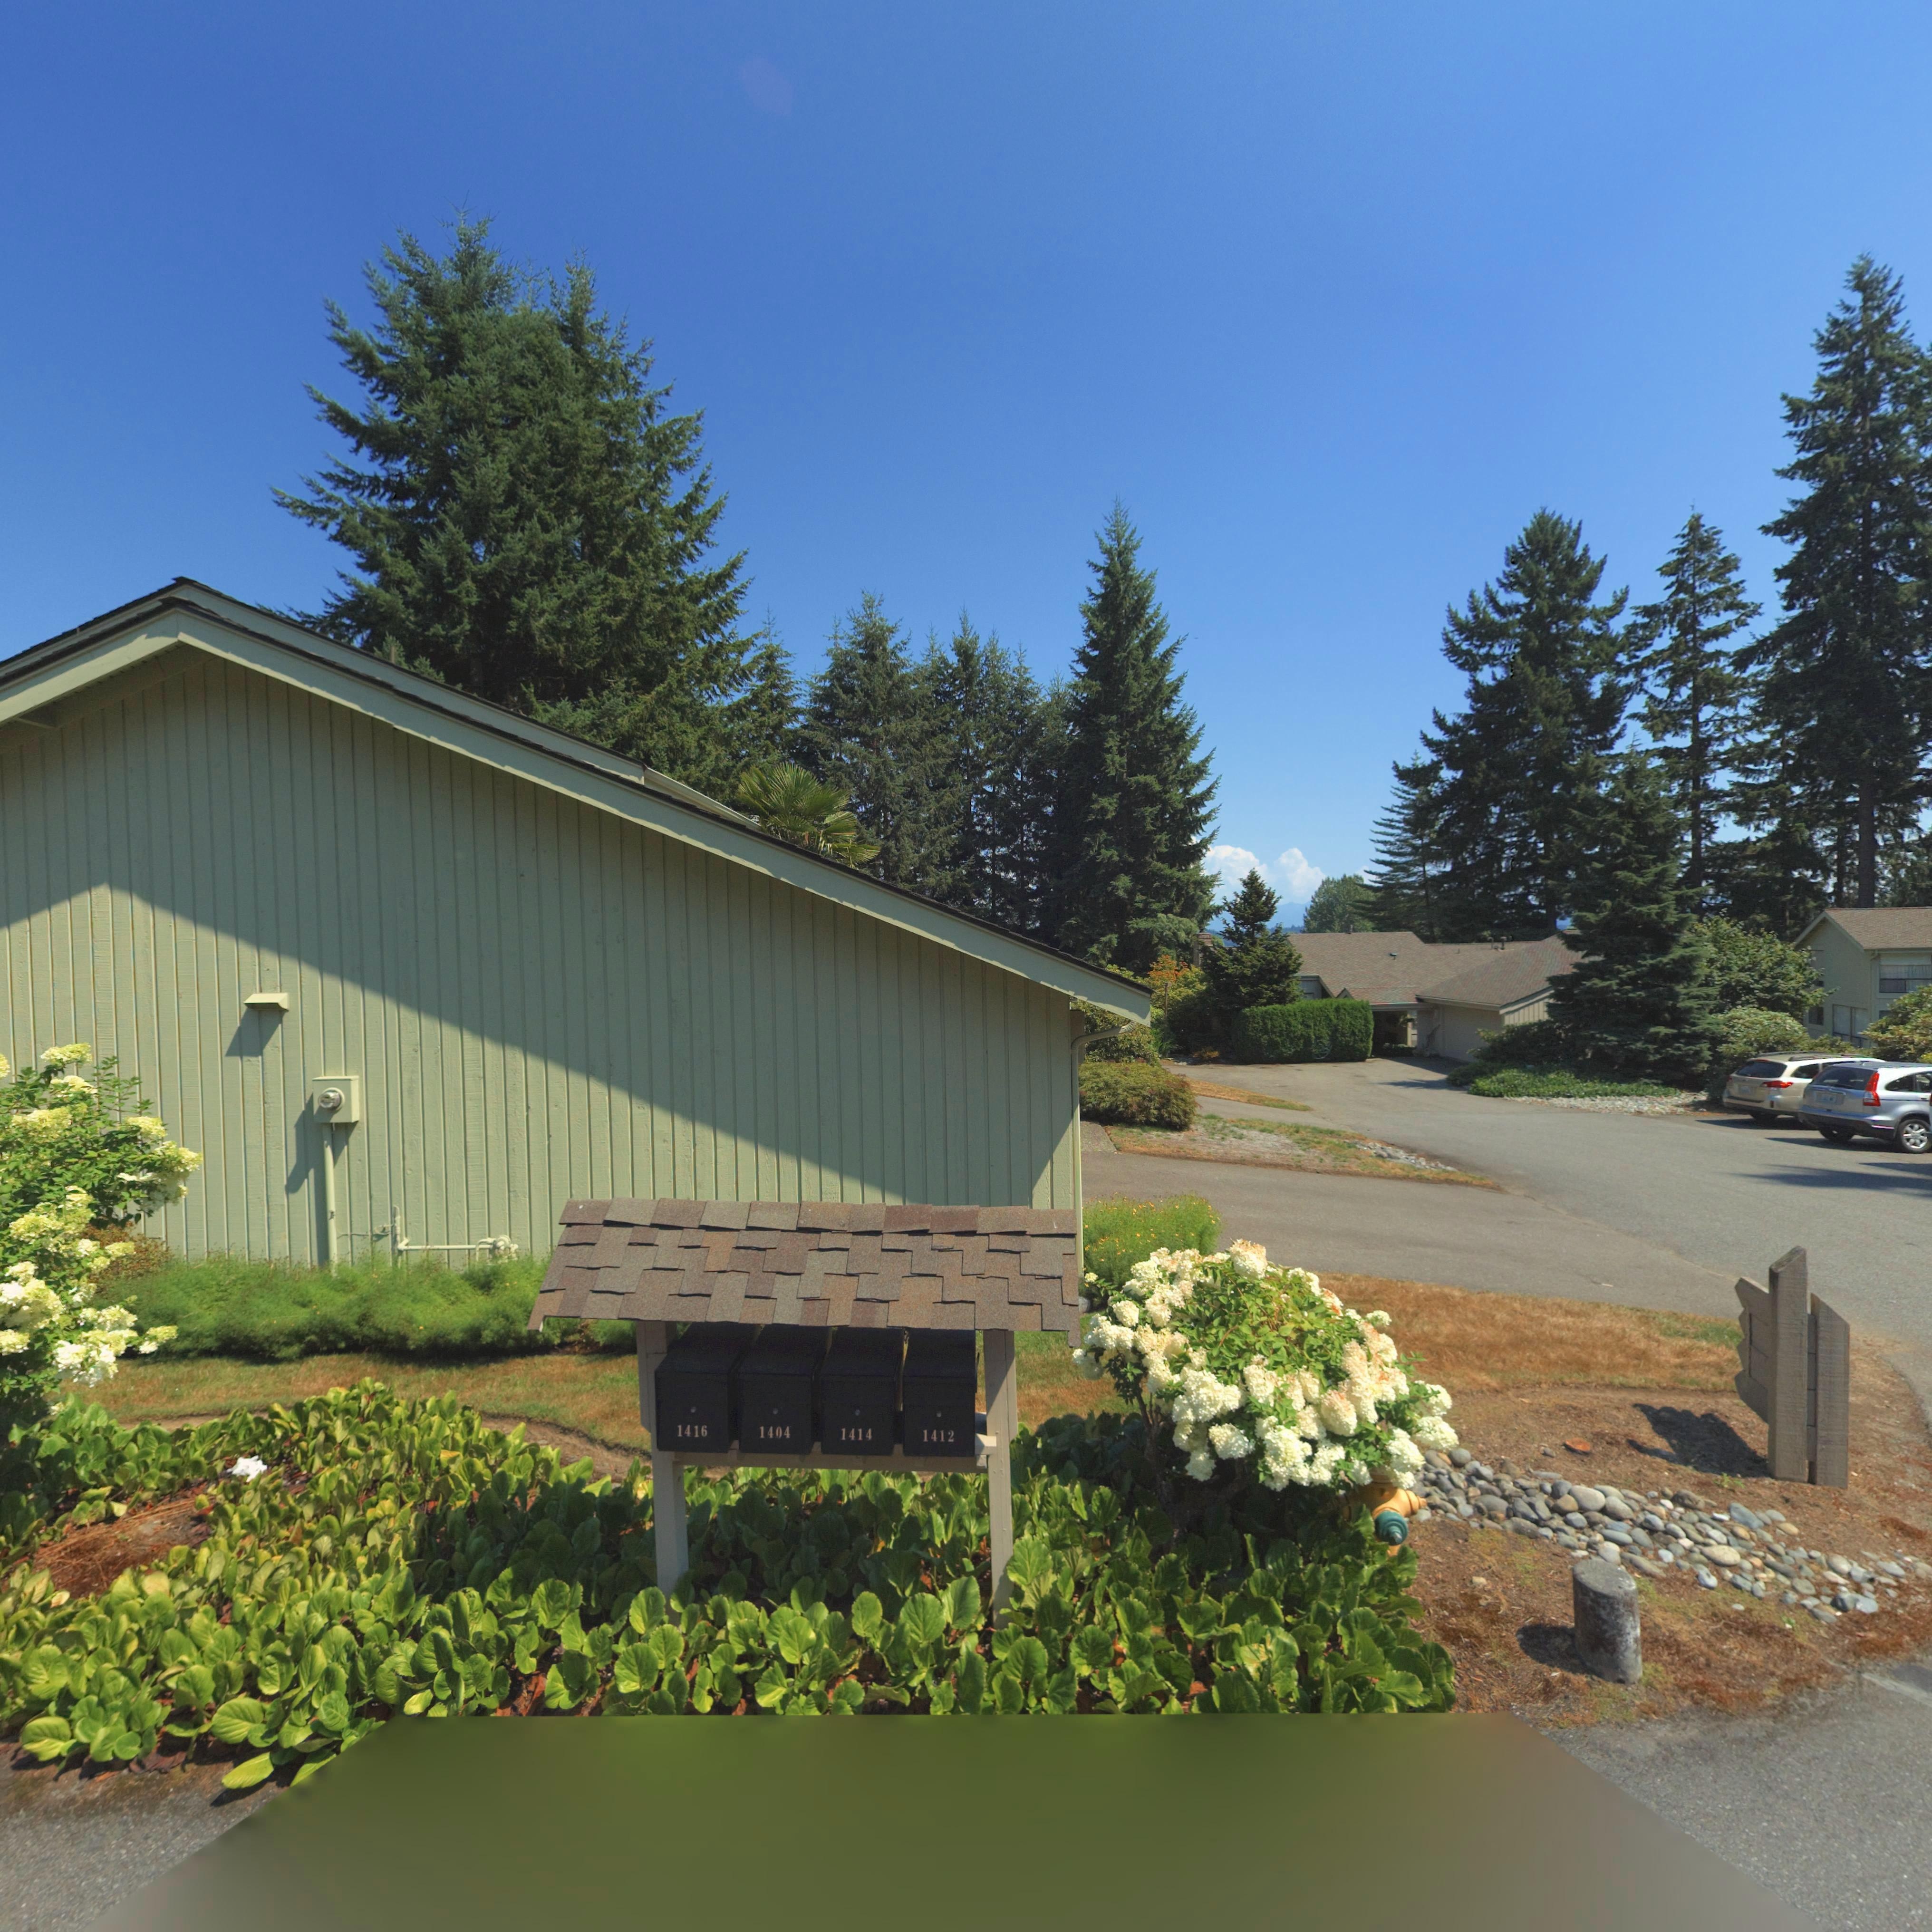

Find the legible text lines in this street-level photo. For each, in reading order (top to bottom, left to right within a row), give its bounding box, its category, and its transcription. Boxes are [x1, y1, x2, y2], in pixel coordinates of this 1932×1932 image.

[673, 1422, 711, 1441] StreetNumber: 1416
[759, 1426, 791, 1439] StreetNumber: 1404
[840, 1428, 873, 1441] StreetNumber: 1414
[922, 1428, 956, 1443] StreetNumber: 1412